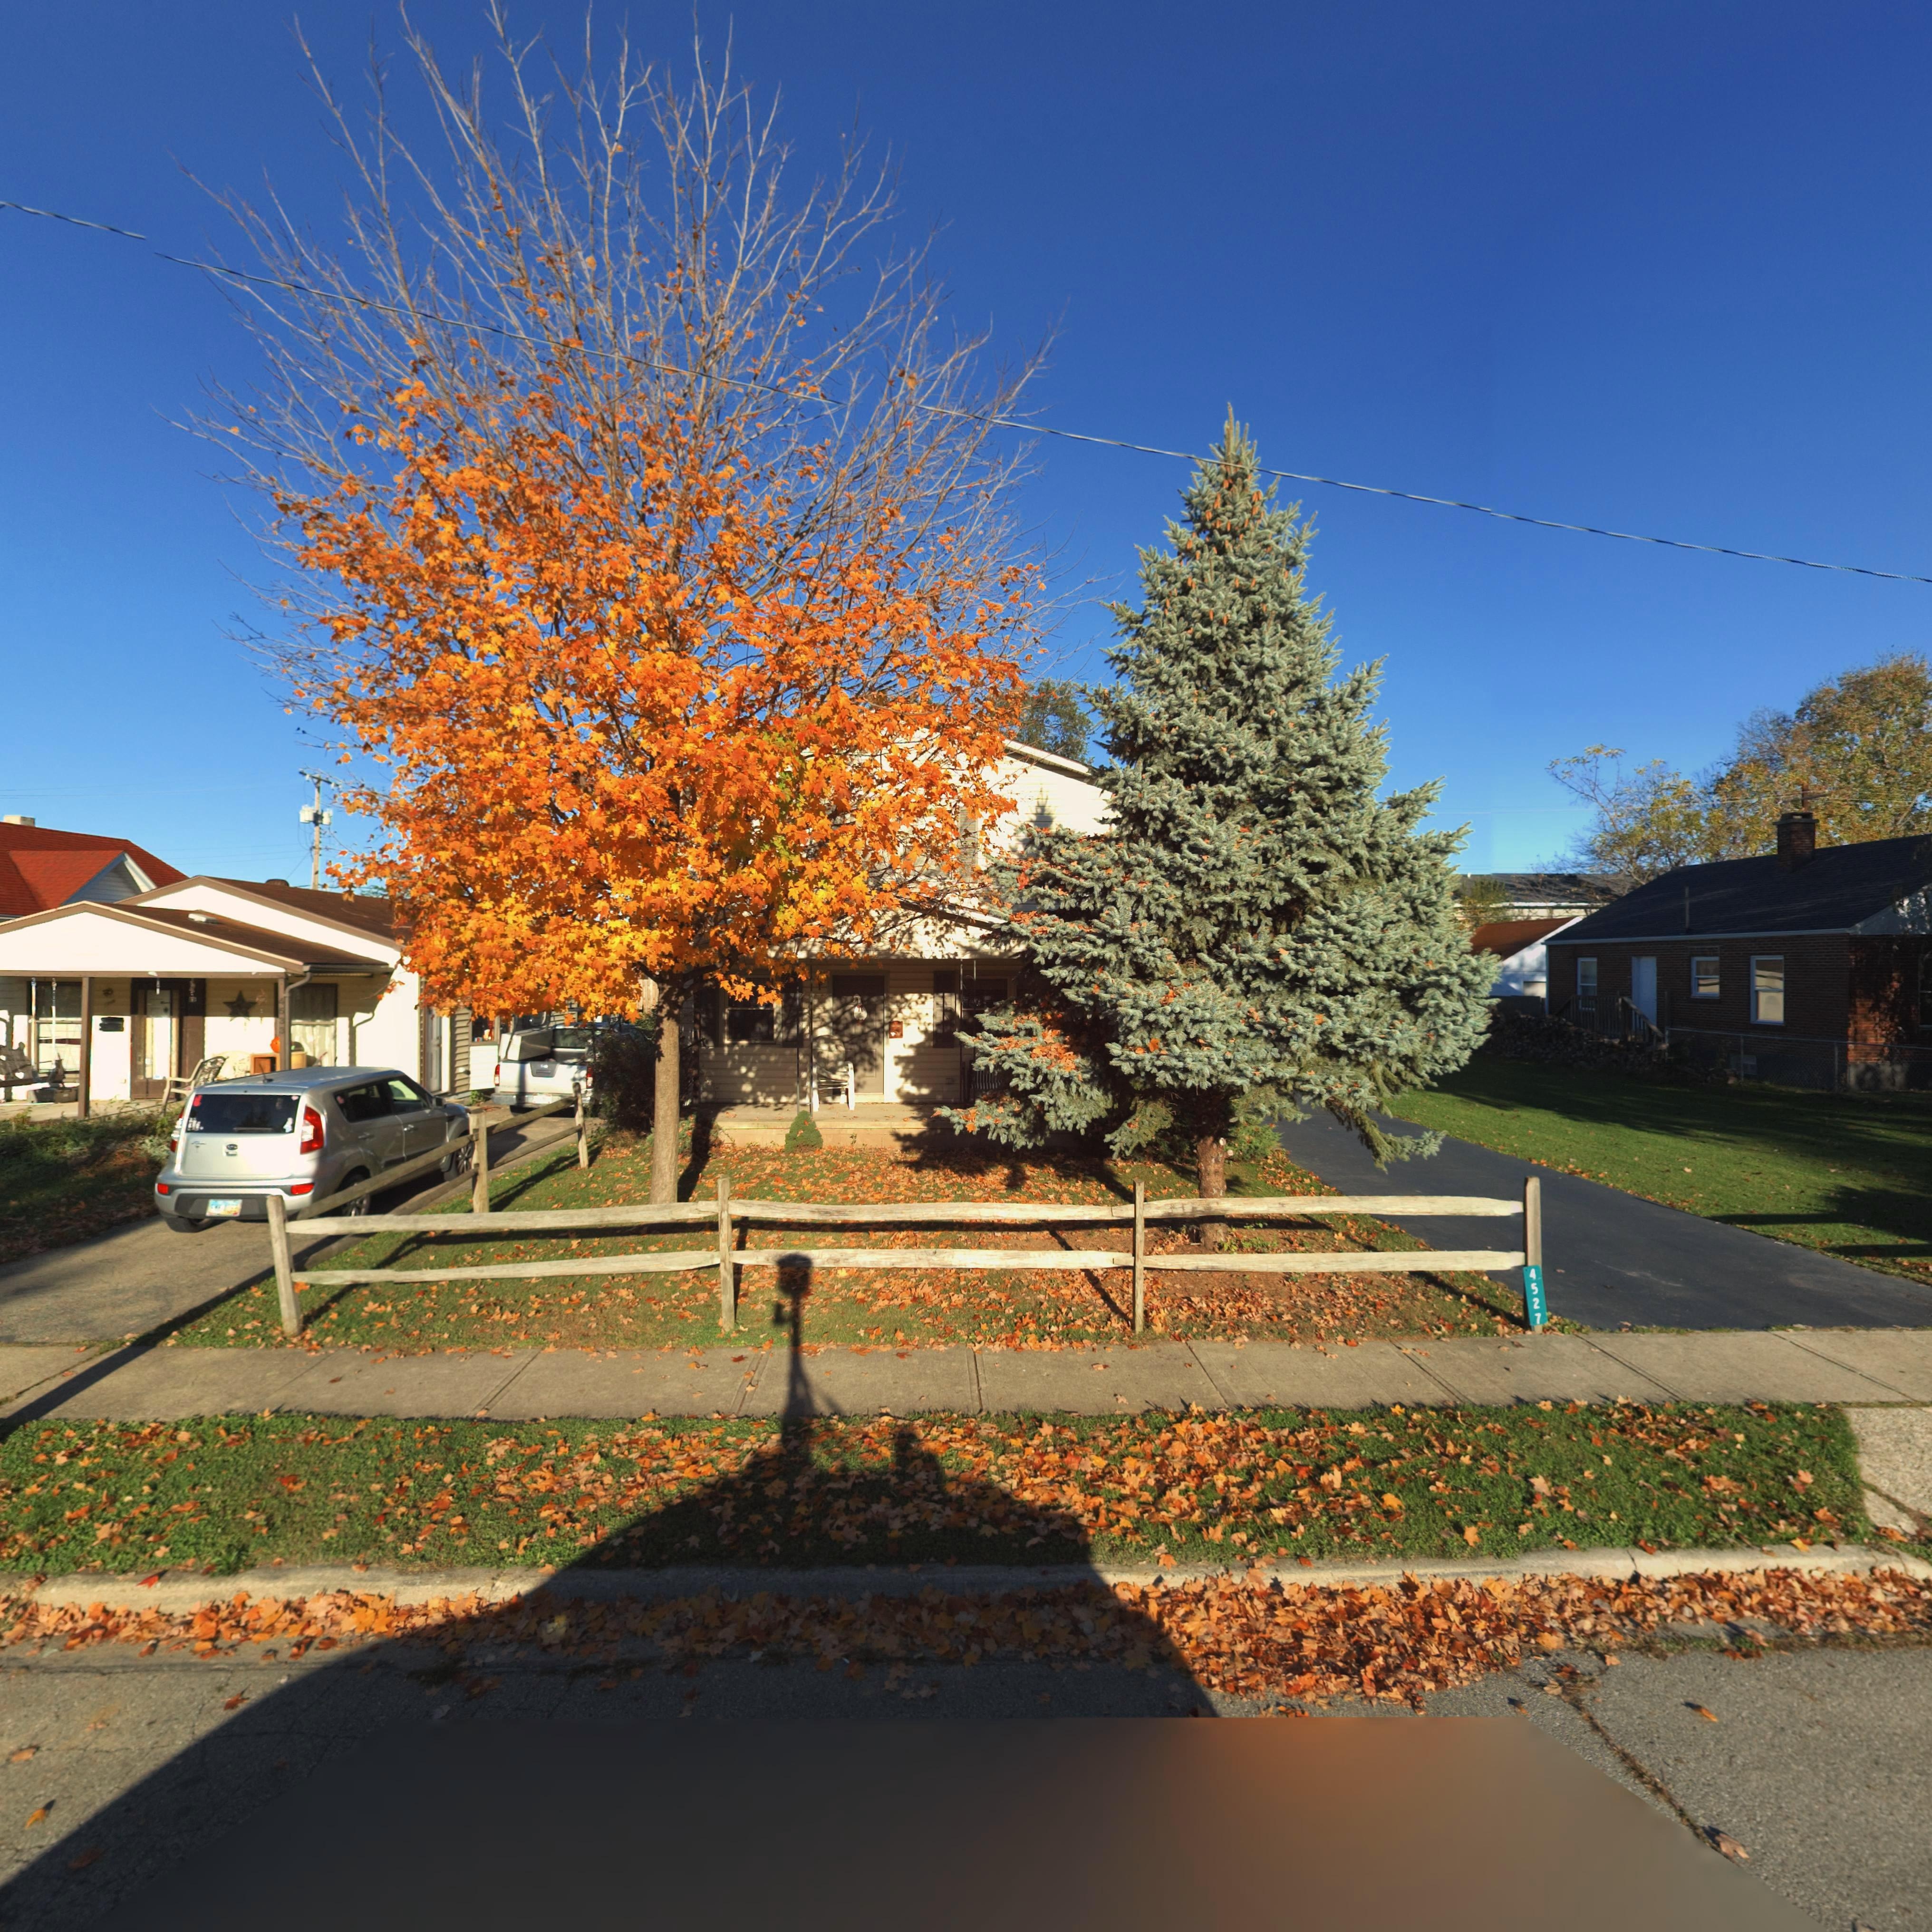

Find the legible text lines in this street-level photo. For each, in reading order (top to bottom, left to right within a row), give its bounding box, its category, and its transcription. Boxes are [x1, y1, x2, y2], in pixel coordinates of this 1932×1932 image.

[1527, 1267, 1544, 1325] StreetNumber: 4527